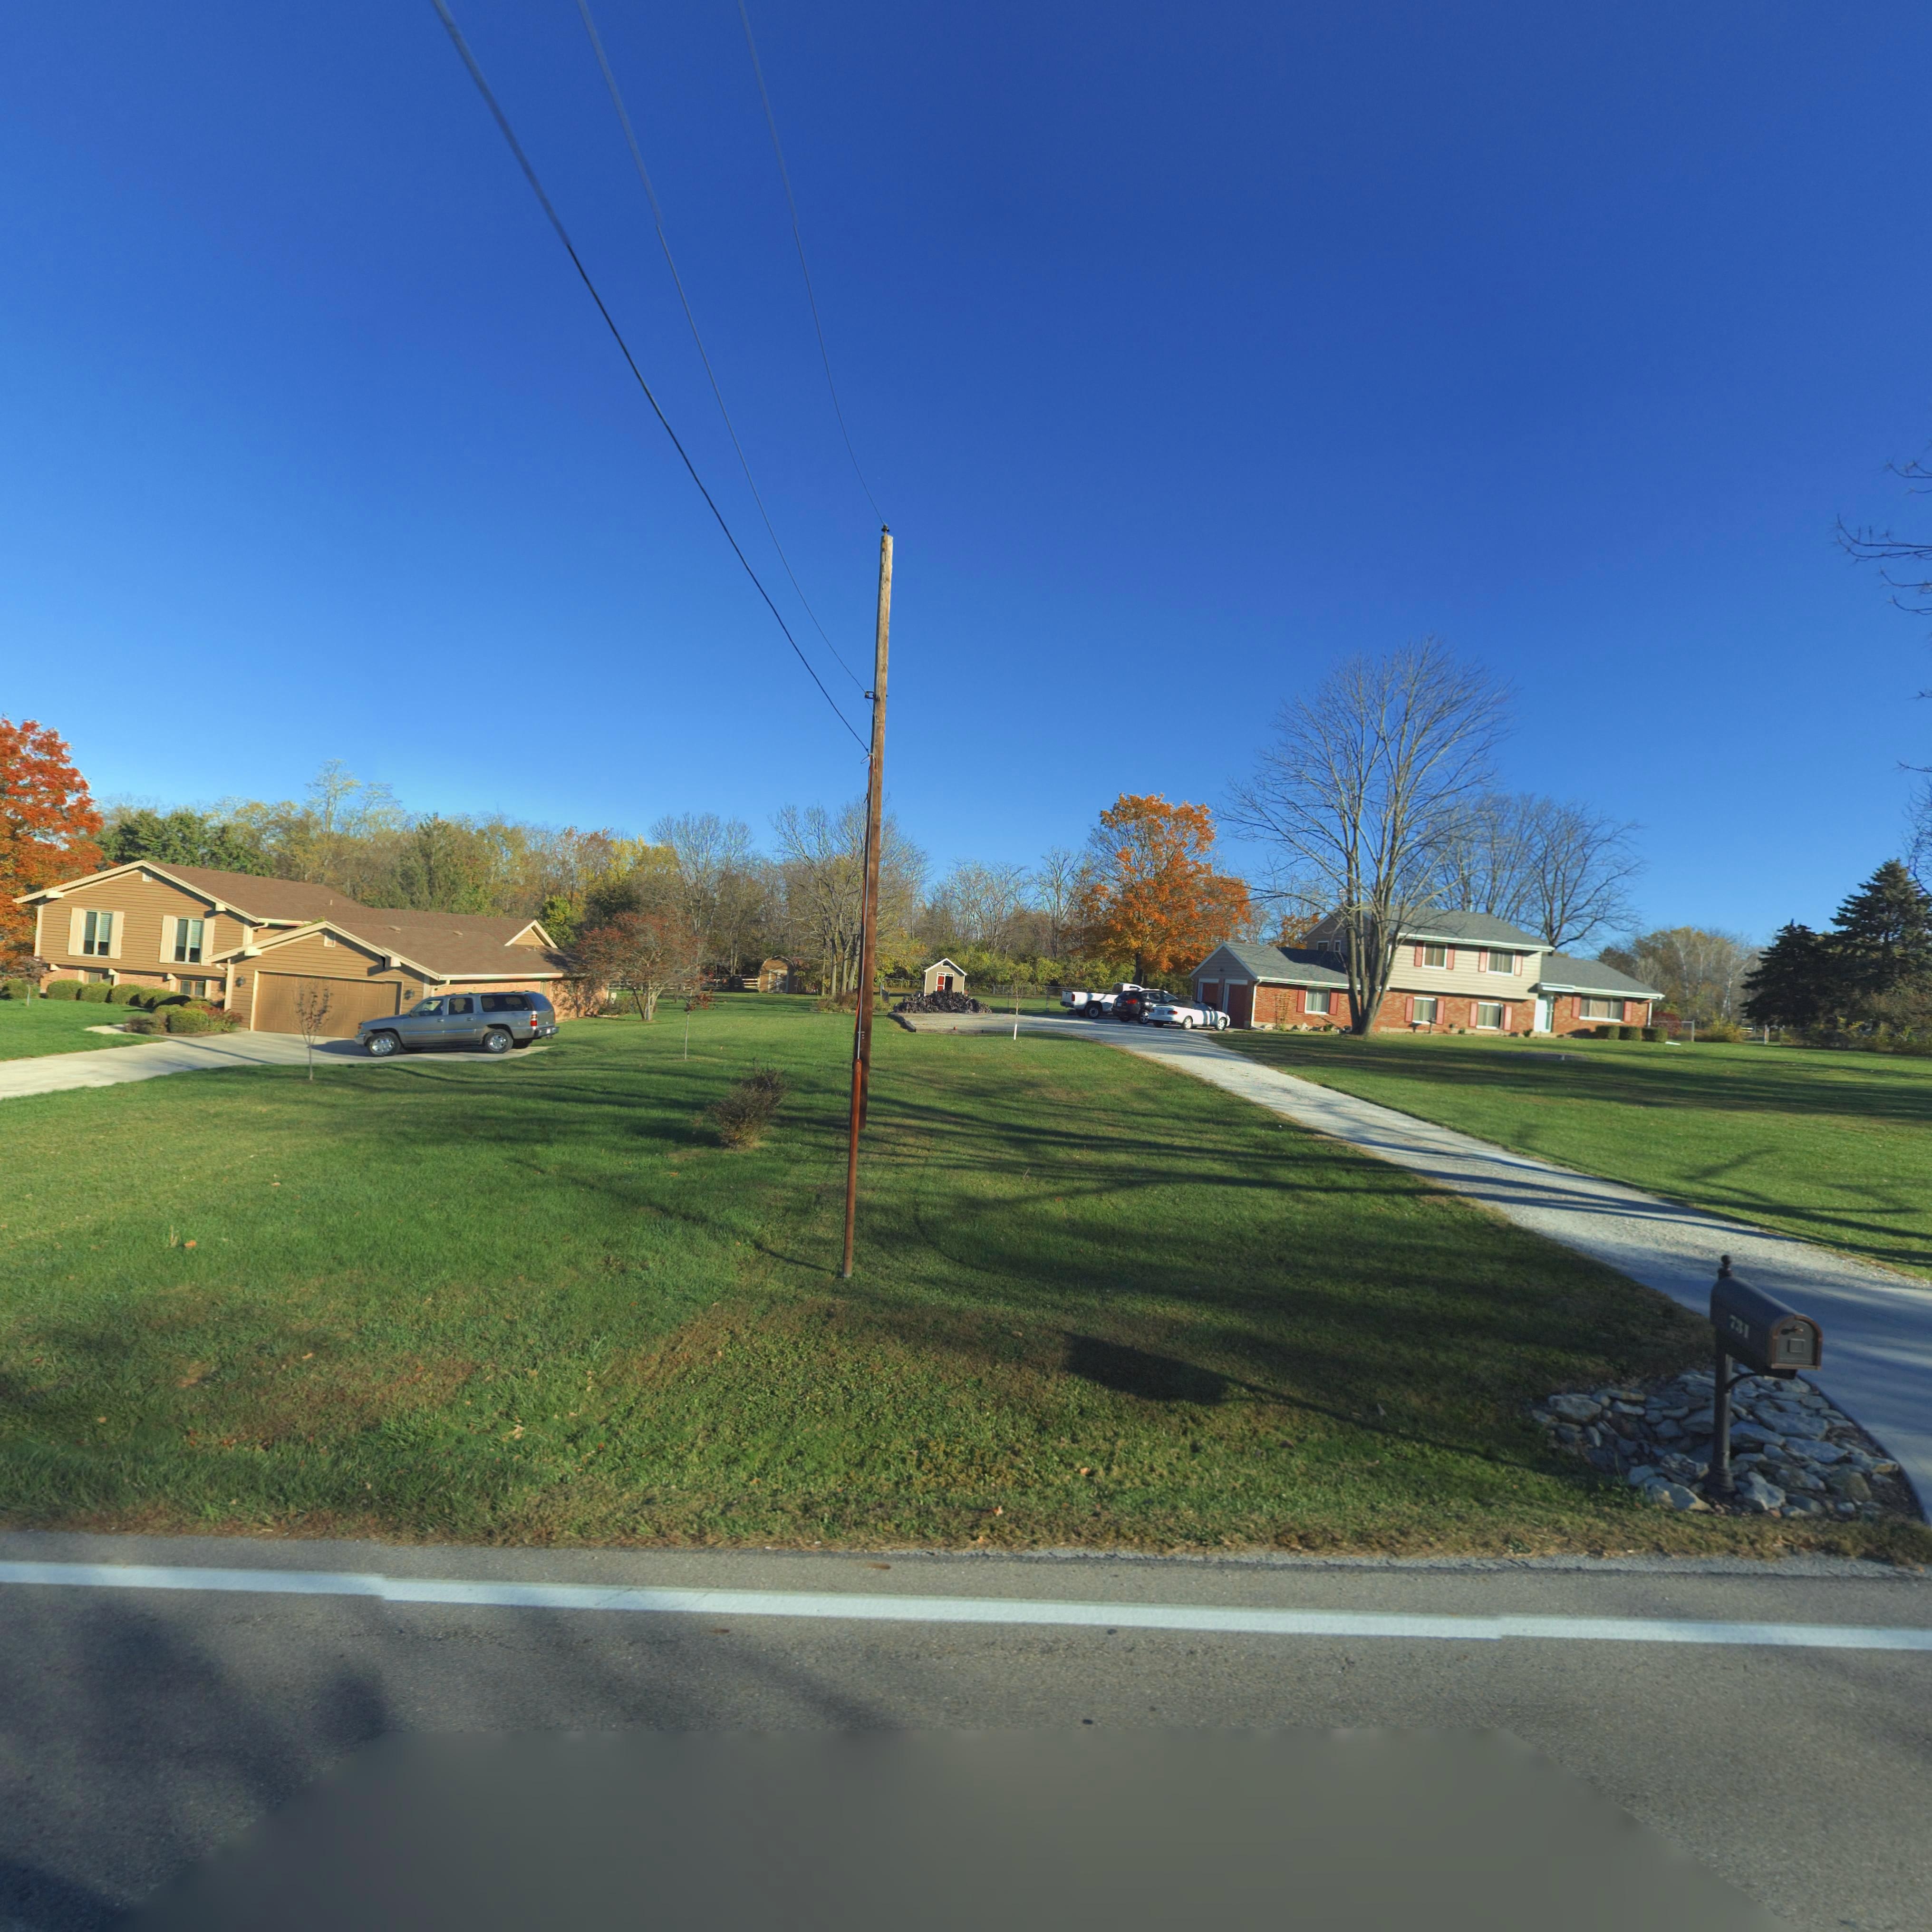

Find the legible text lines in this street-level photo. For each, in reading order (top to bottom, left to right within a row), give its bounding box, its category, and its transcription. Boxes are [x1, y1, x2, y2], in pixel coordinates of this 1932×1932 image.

[1728, 1313, 1751, 1341] StreetNumber: 731